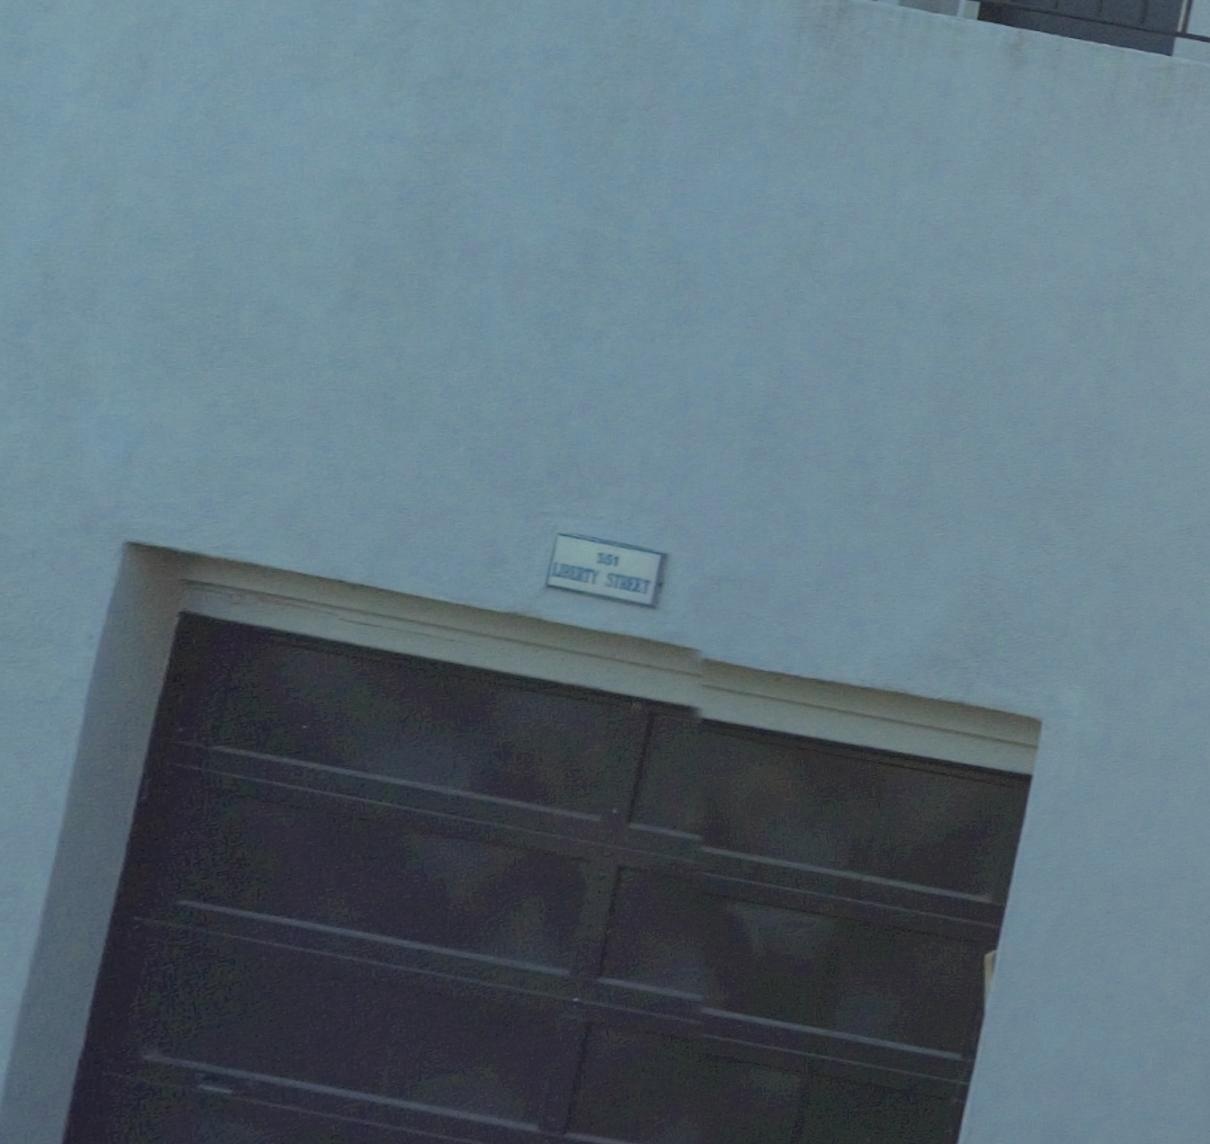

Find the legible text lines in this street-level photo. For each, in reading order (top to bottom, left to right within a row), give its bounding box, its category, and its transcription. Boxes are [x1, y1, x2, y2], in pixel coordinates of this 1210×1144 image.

[551, 560, 652, 596] StreetName: LIBERTY STREET
[595, 550, 621, 570] StreetNumber: 351